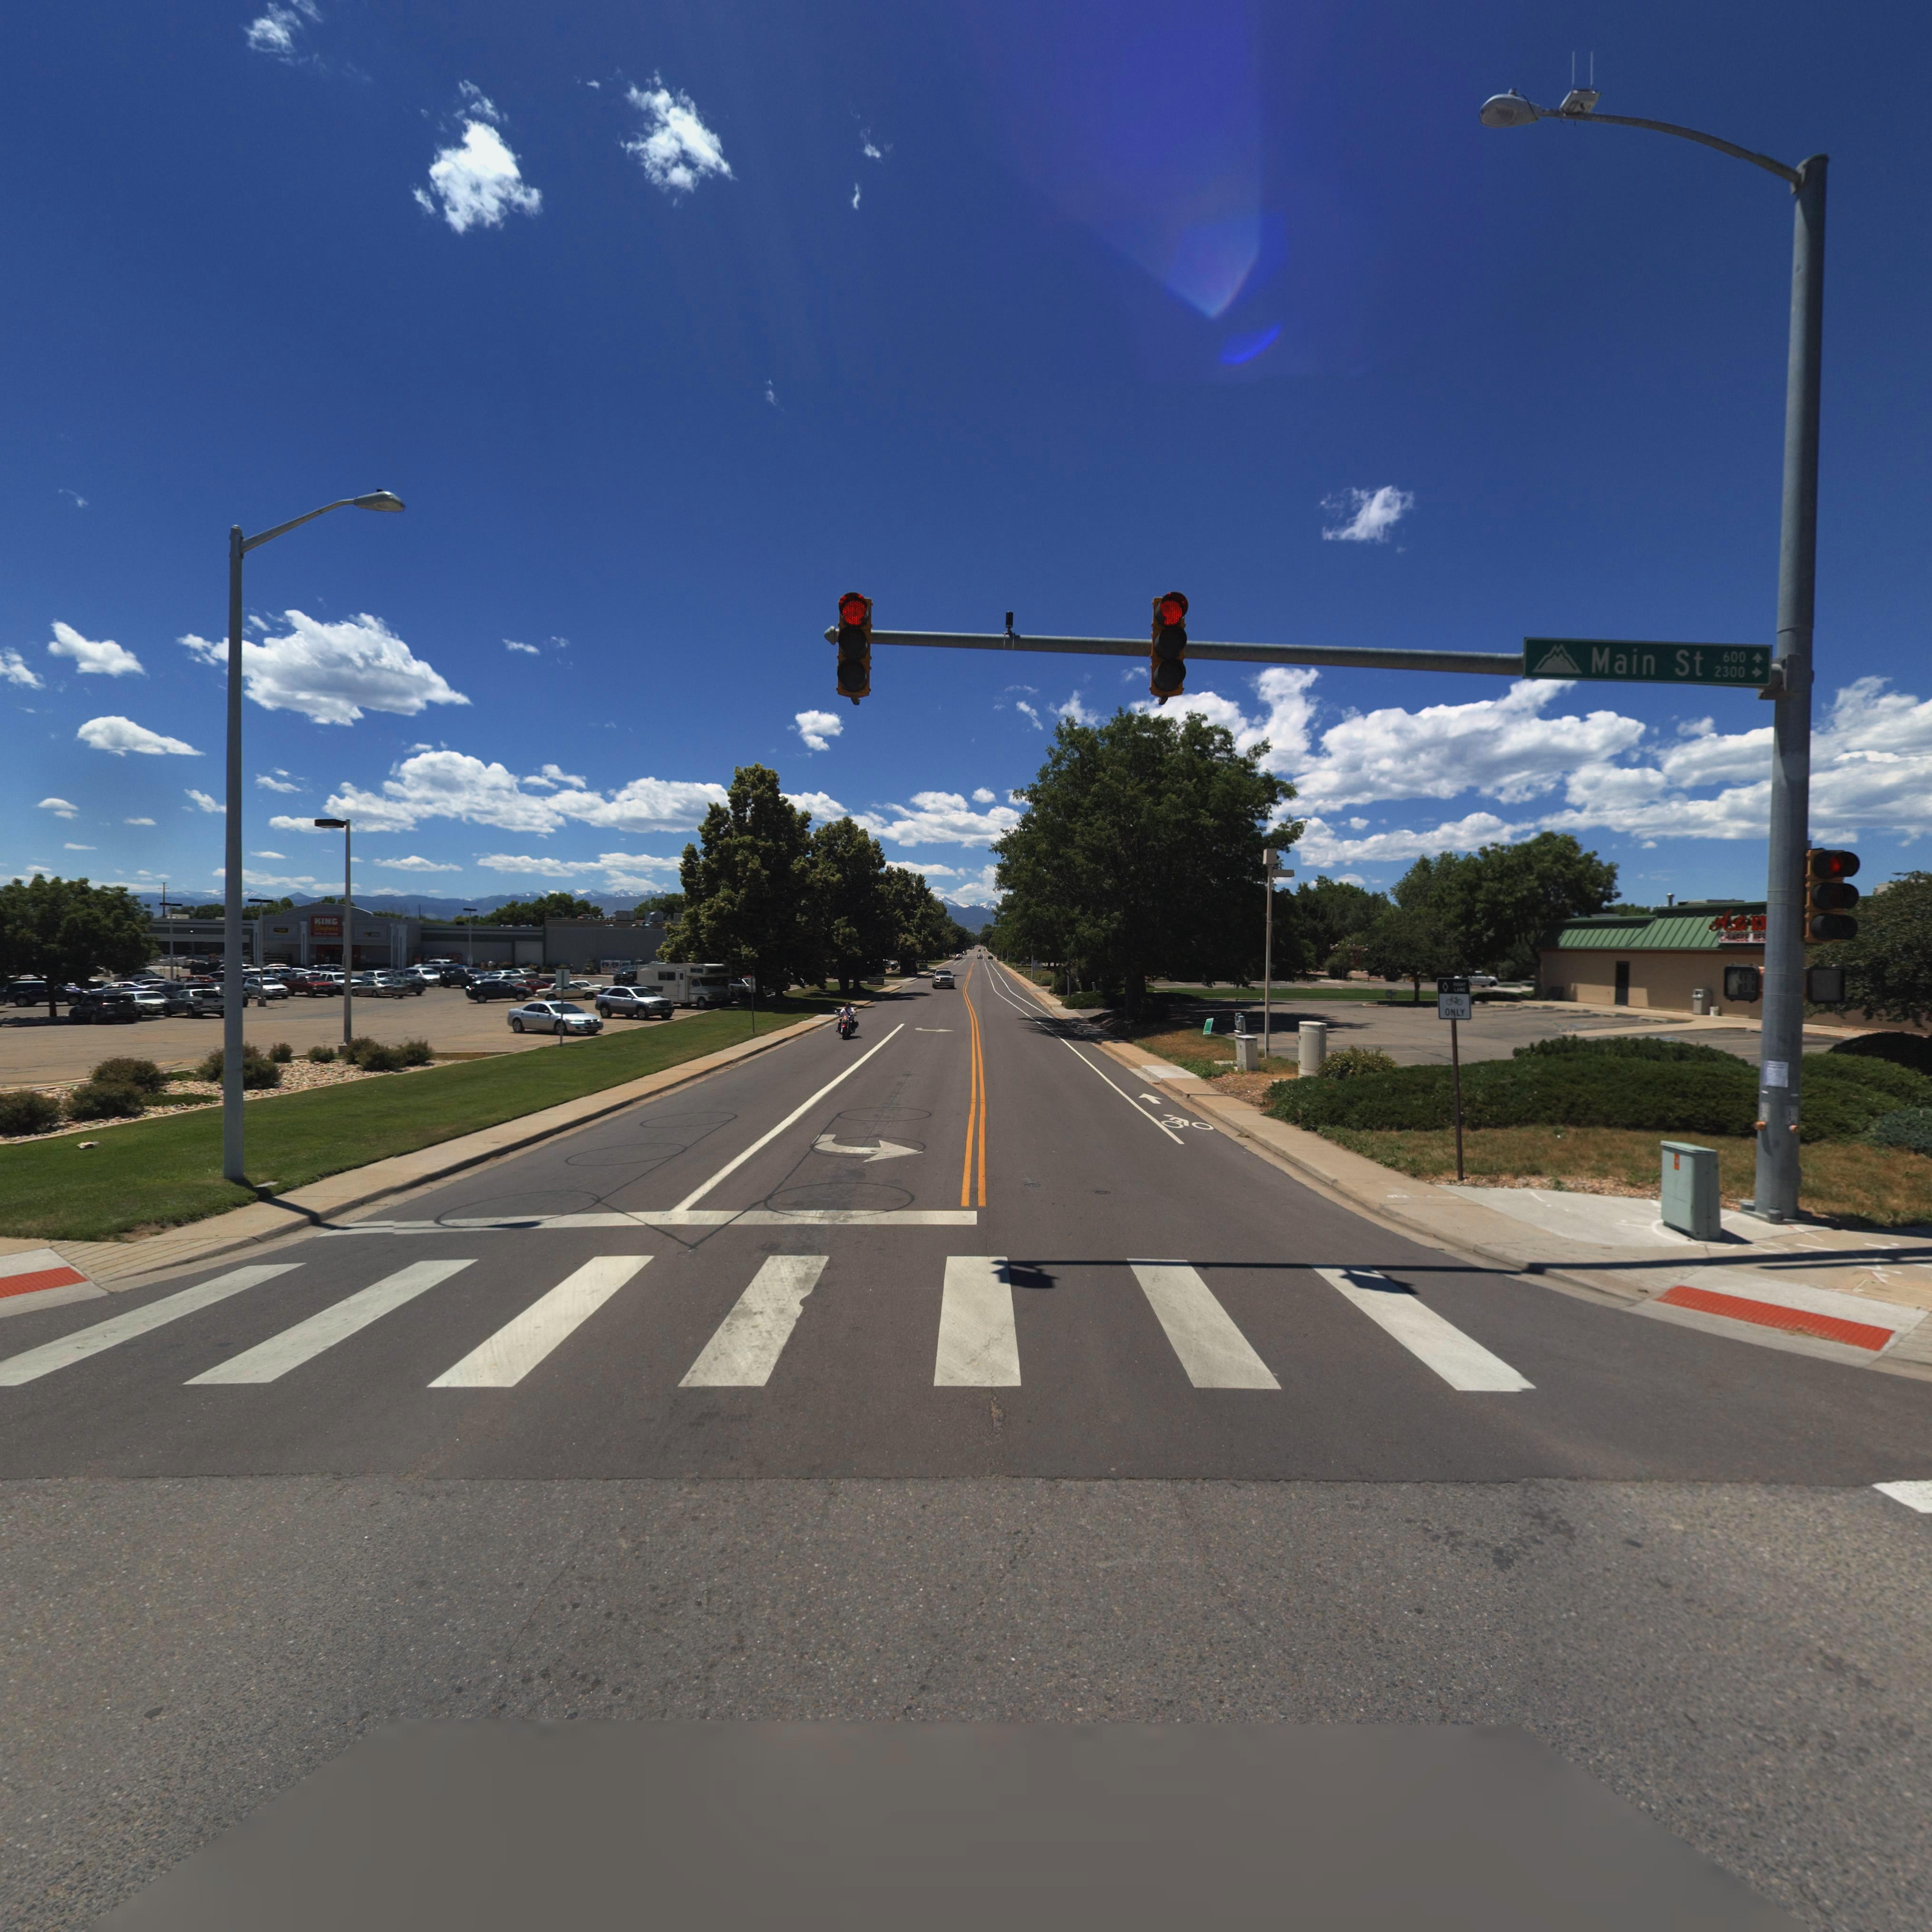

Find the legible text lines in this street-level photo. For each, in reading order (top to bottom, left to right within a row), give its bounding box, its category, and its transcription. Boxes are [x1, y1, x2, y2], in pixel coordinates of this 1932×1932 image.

[1590, 646, 1703, 676] StreetName: Main St
[1722, 650, 1746, 663] StreetNumberRange: 600
[1715, 666, 1763, 678] StreetNumberRange: 2300->
[315, 918, 337, 924] BusinessName: KING
[1708, 908, 1766, 932] BusinessName: Ali E*
[313, 924, 338, 932] BusinessName: S*o****